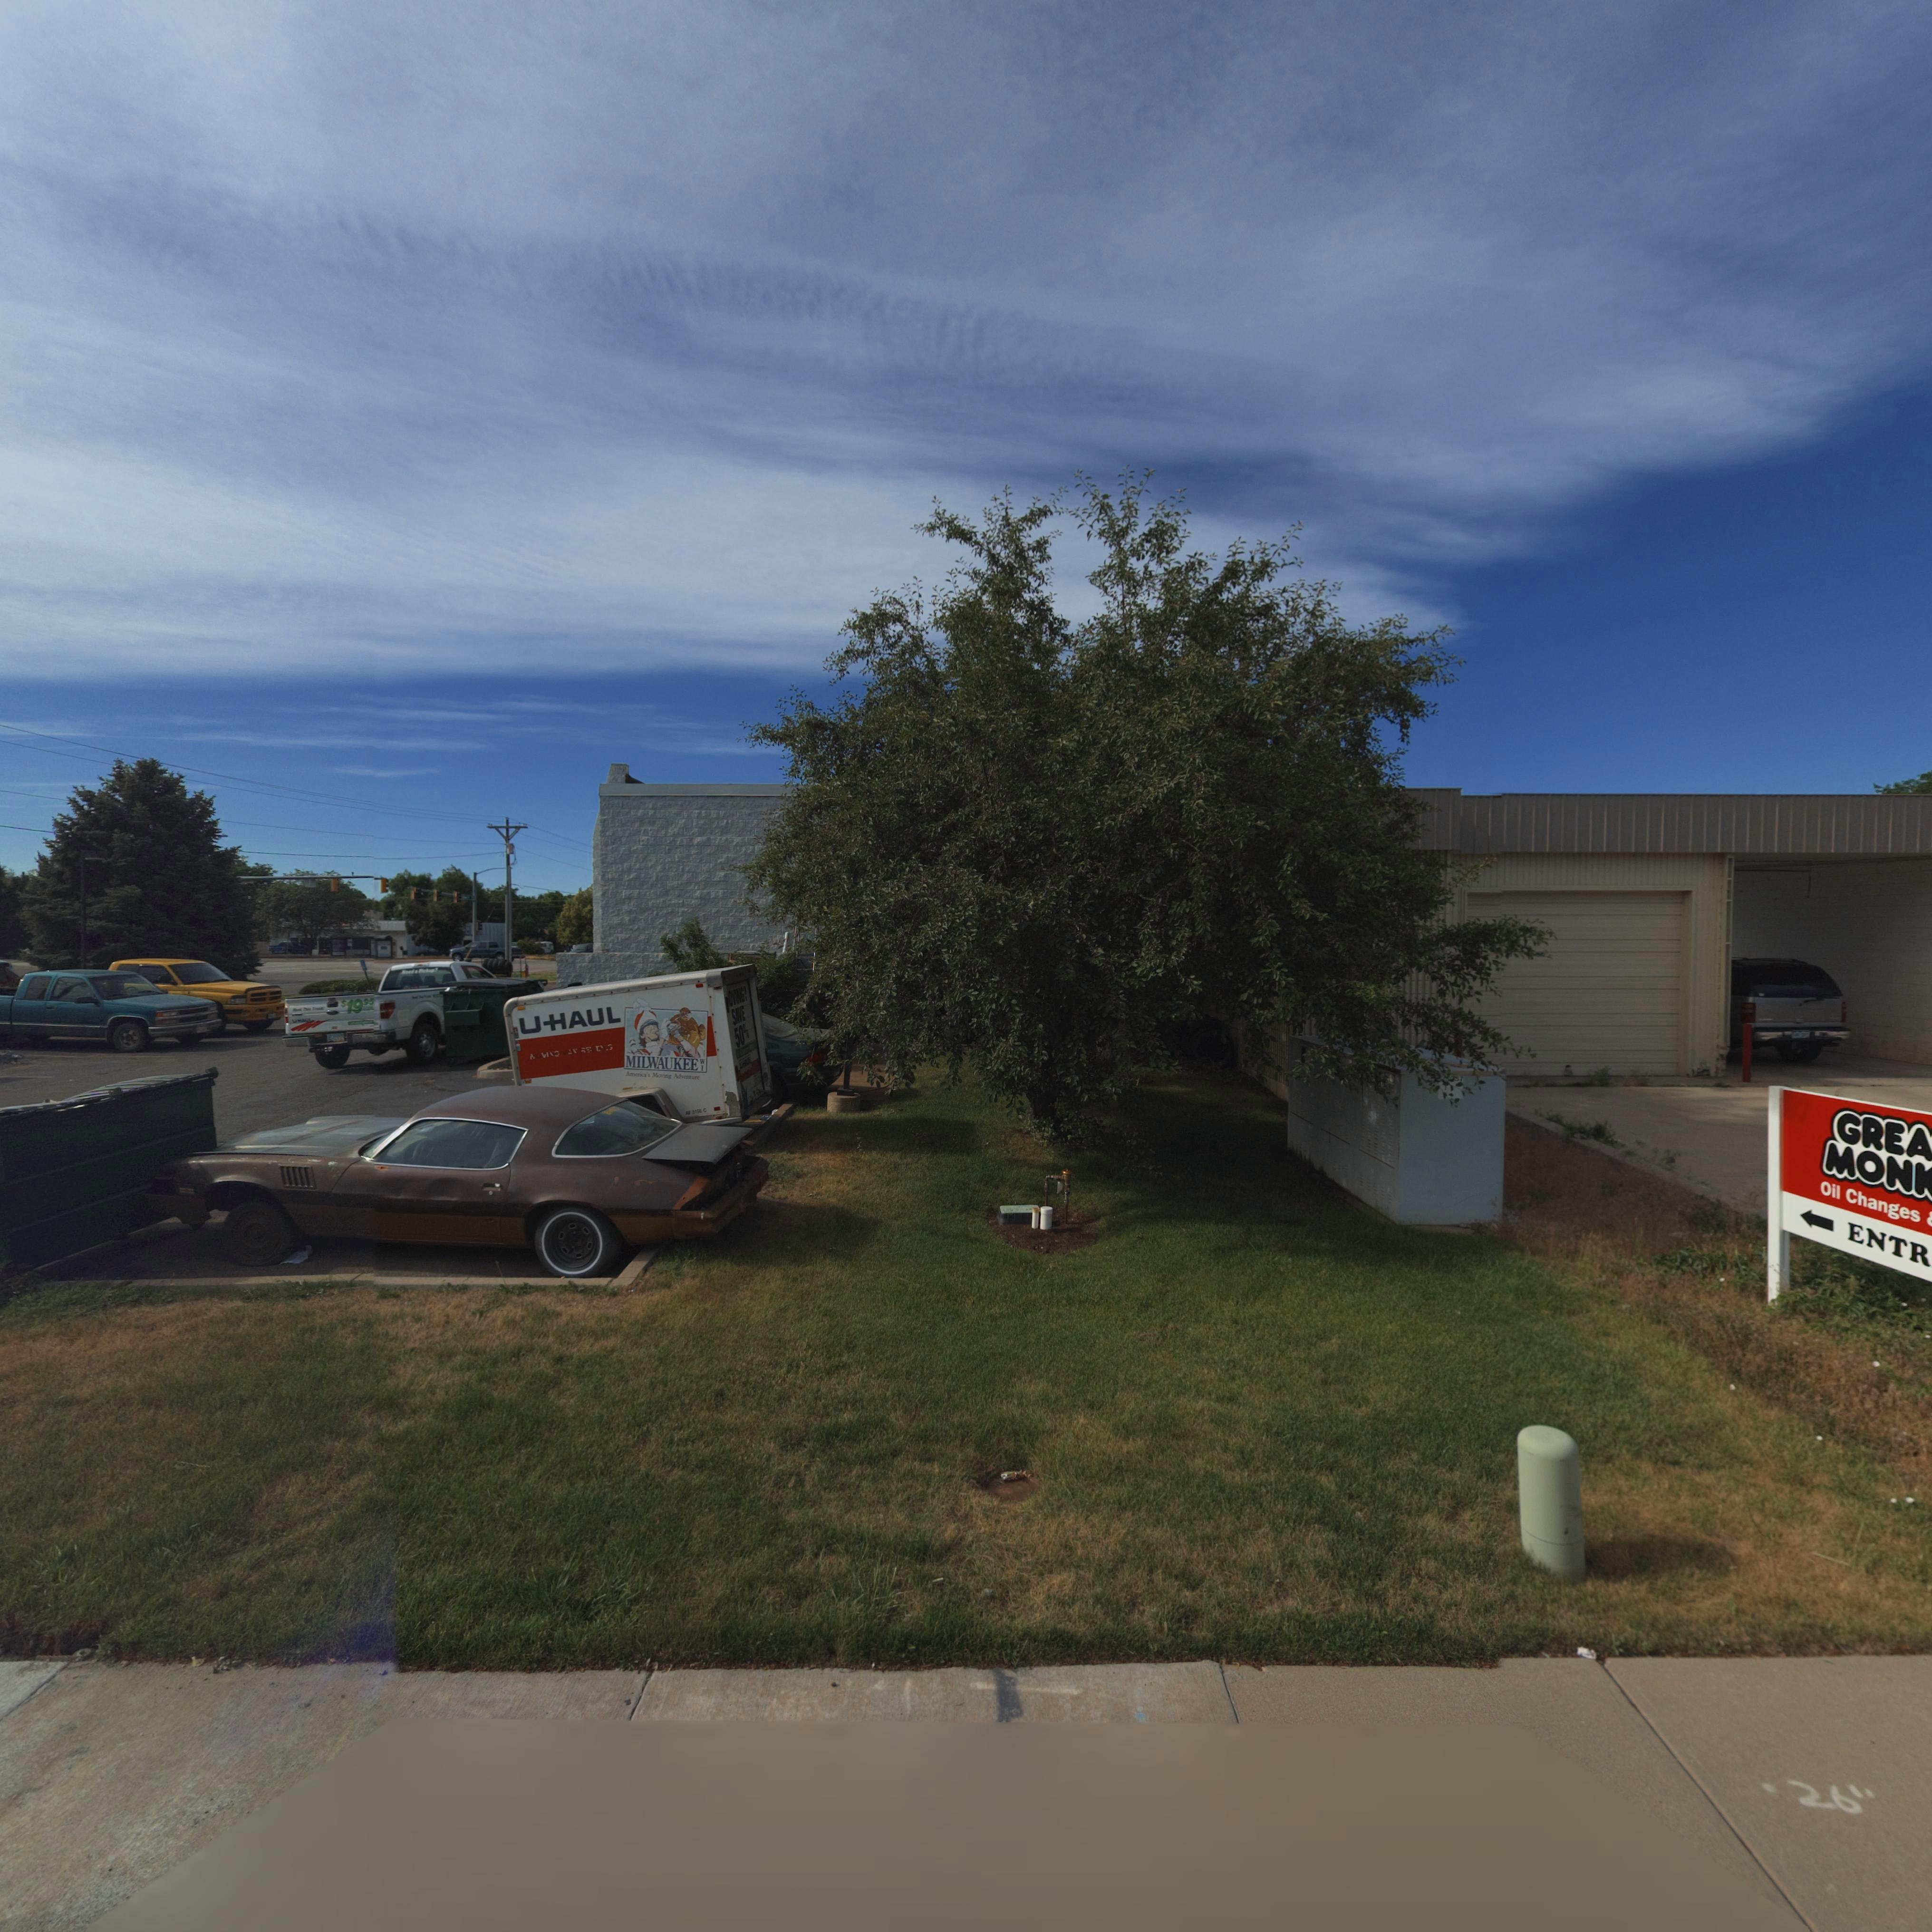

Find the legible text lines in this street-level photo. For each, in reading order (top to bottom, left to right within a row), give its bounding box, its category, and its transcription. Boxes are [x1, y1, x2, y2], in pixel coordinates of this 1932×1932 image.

[1835, 1112, 1906, 1156] BusinessName: GRE
[1824, 1141, 1914, 1194] BusinessName: MON